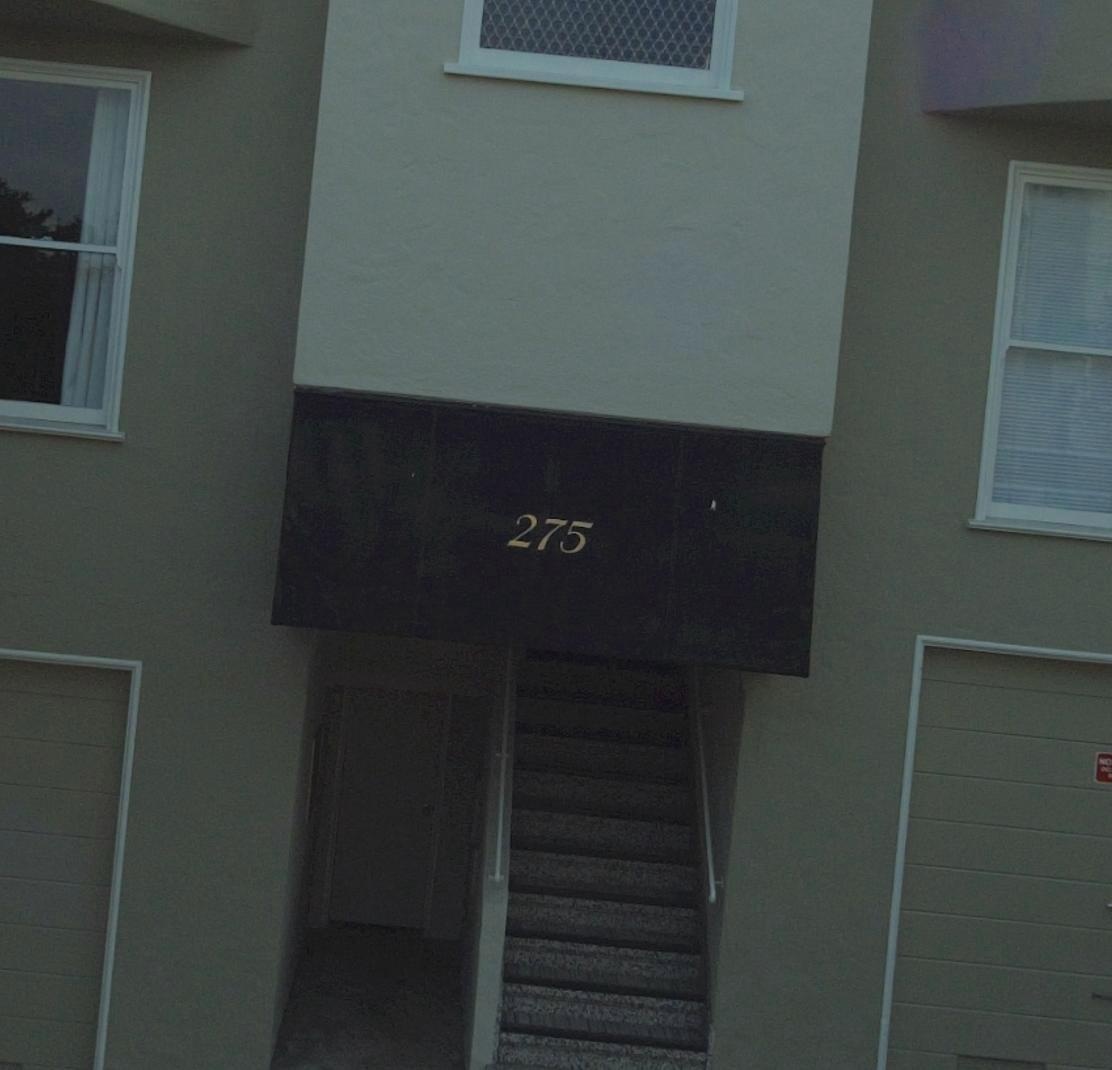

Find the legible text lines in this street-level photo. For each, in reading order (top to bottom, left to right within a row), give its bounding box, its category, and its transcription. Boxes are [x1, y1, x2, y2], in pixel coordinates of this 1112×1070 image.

[506, 512, 596, 555] StreetNumber: 275